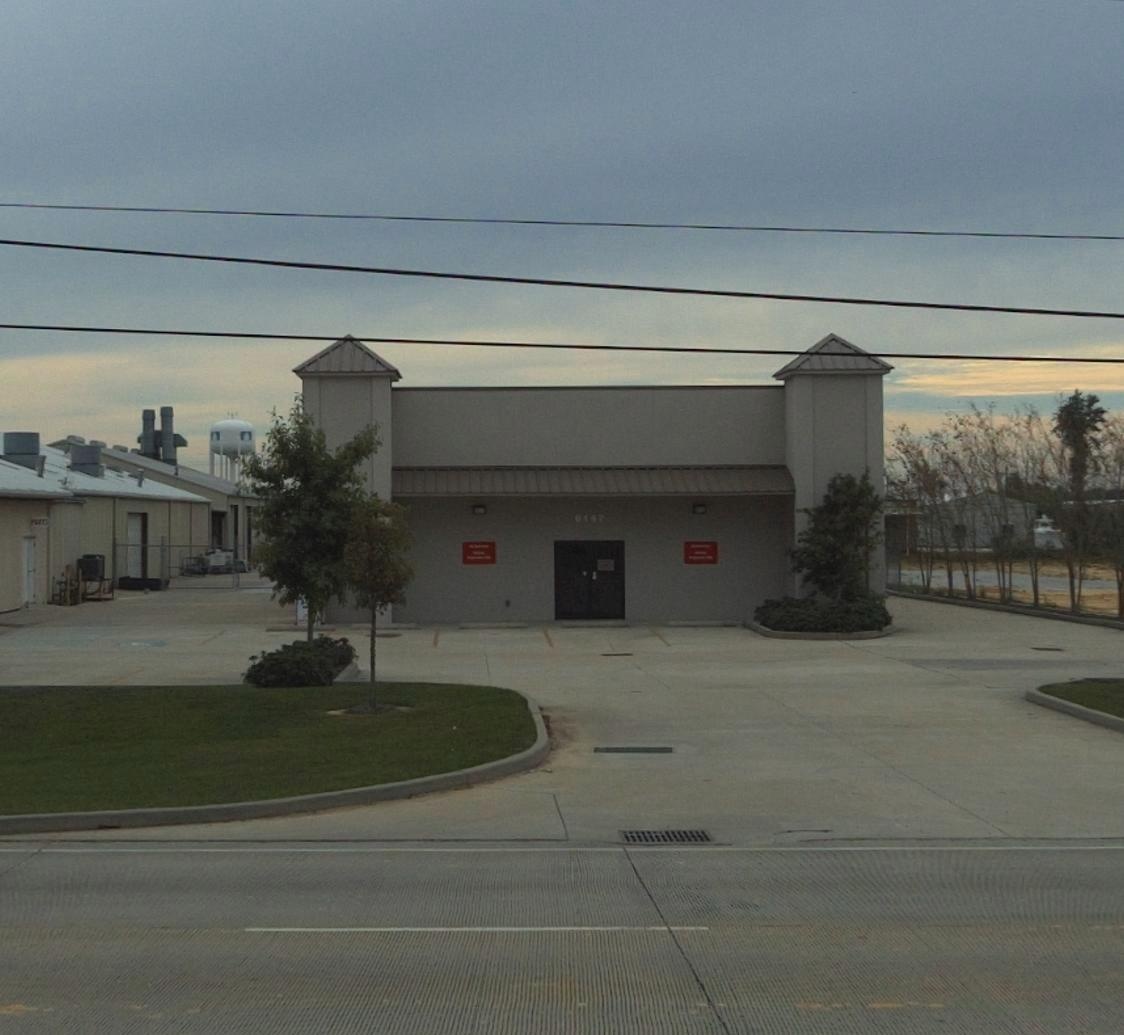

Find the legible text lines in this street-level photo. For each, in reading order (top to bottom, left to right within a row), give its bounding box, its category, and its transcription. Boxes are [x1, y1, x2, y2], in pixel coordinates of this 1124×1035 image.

[573, 512, 605, 523] StreetNumber: 6147